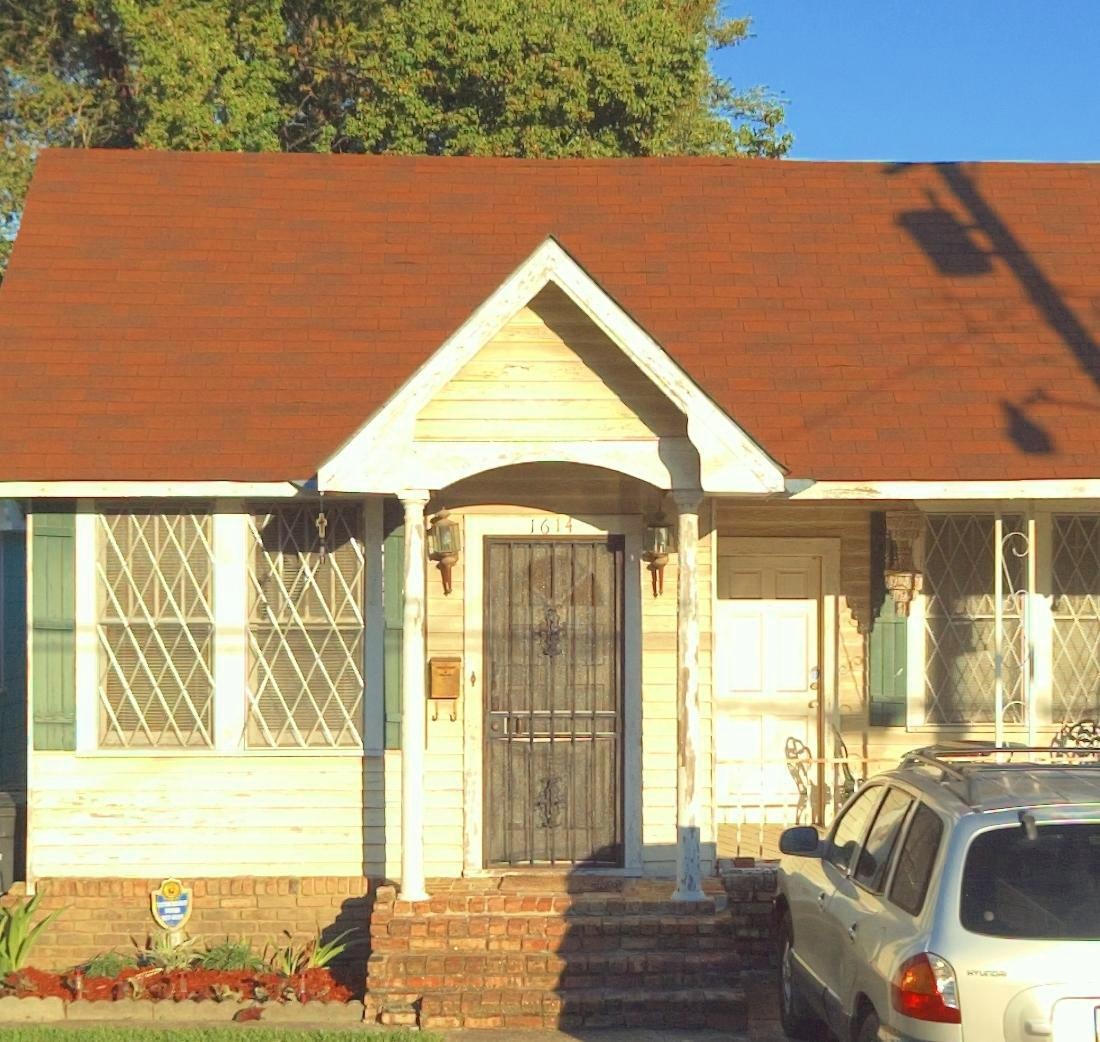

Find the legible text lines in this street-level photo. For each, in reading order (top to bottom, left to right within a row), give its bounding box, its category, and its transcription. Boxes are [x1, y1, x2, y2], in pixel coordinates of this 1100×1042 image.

[528, 515, 574, 536] StreetNumber: 1614